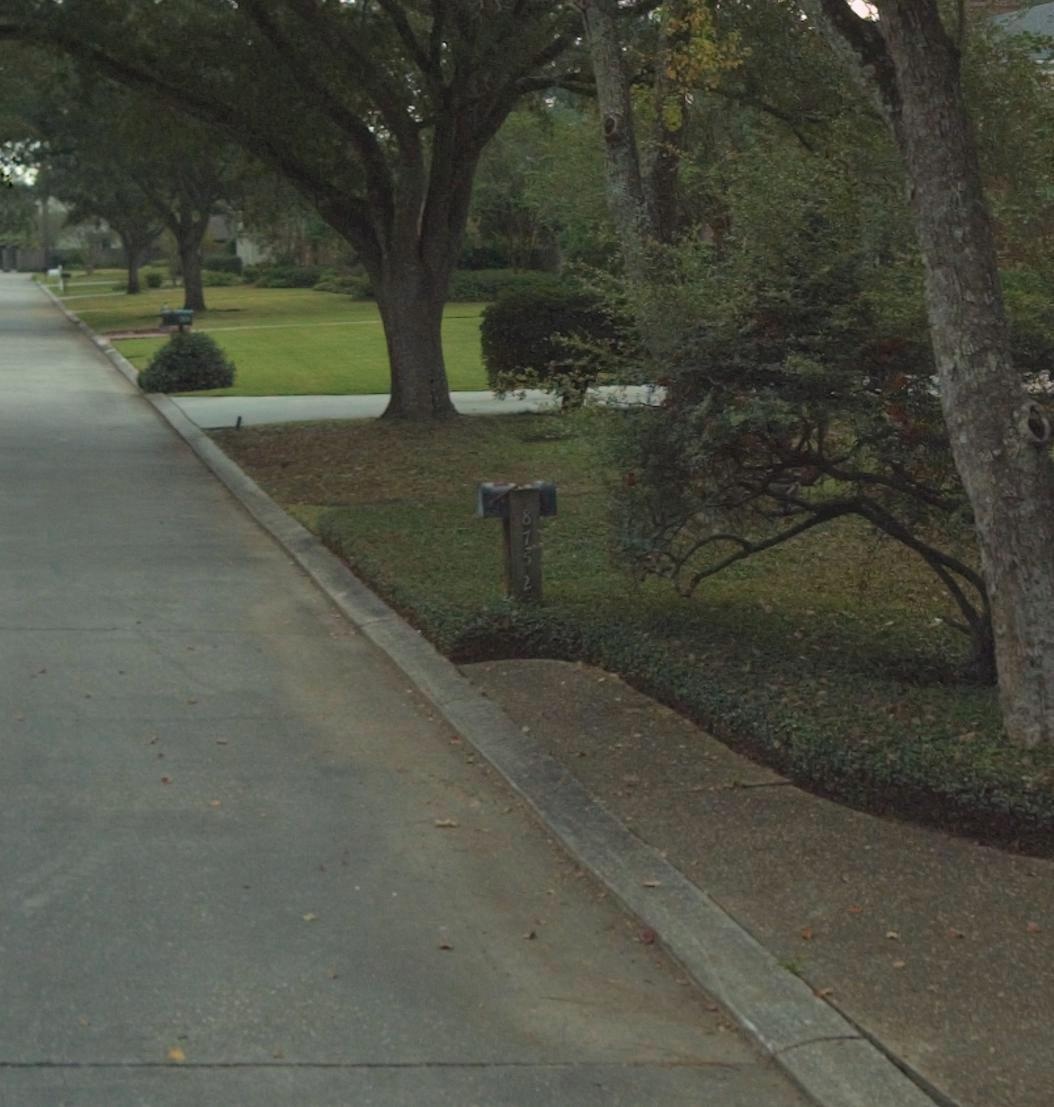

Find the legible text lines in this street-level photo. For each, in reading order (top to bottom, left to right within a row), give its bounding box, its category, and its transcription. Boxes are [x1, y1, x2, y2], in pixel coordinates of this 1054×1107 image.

[521, 507, 534, 594] StreetNumber: 8752